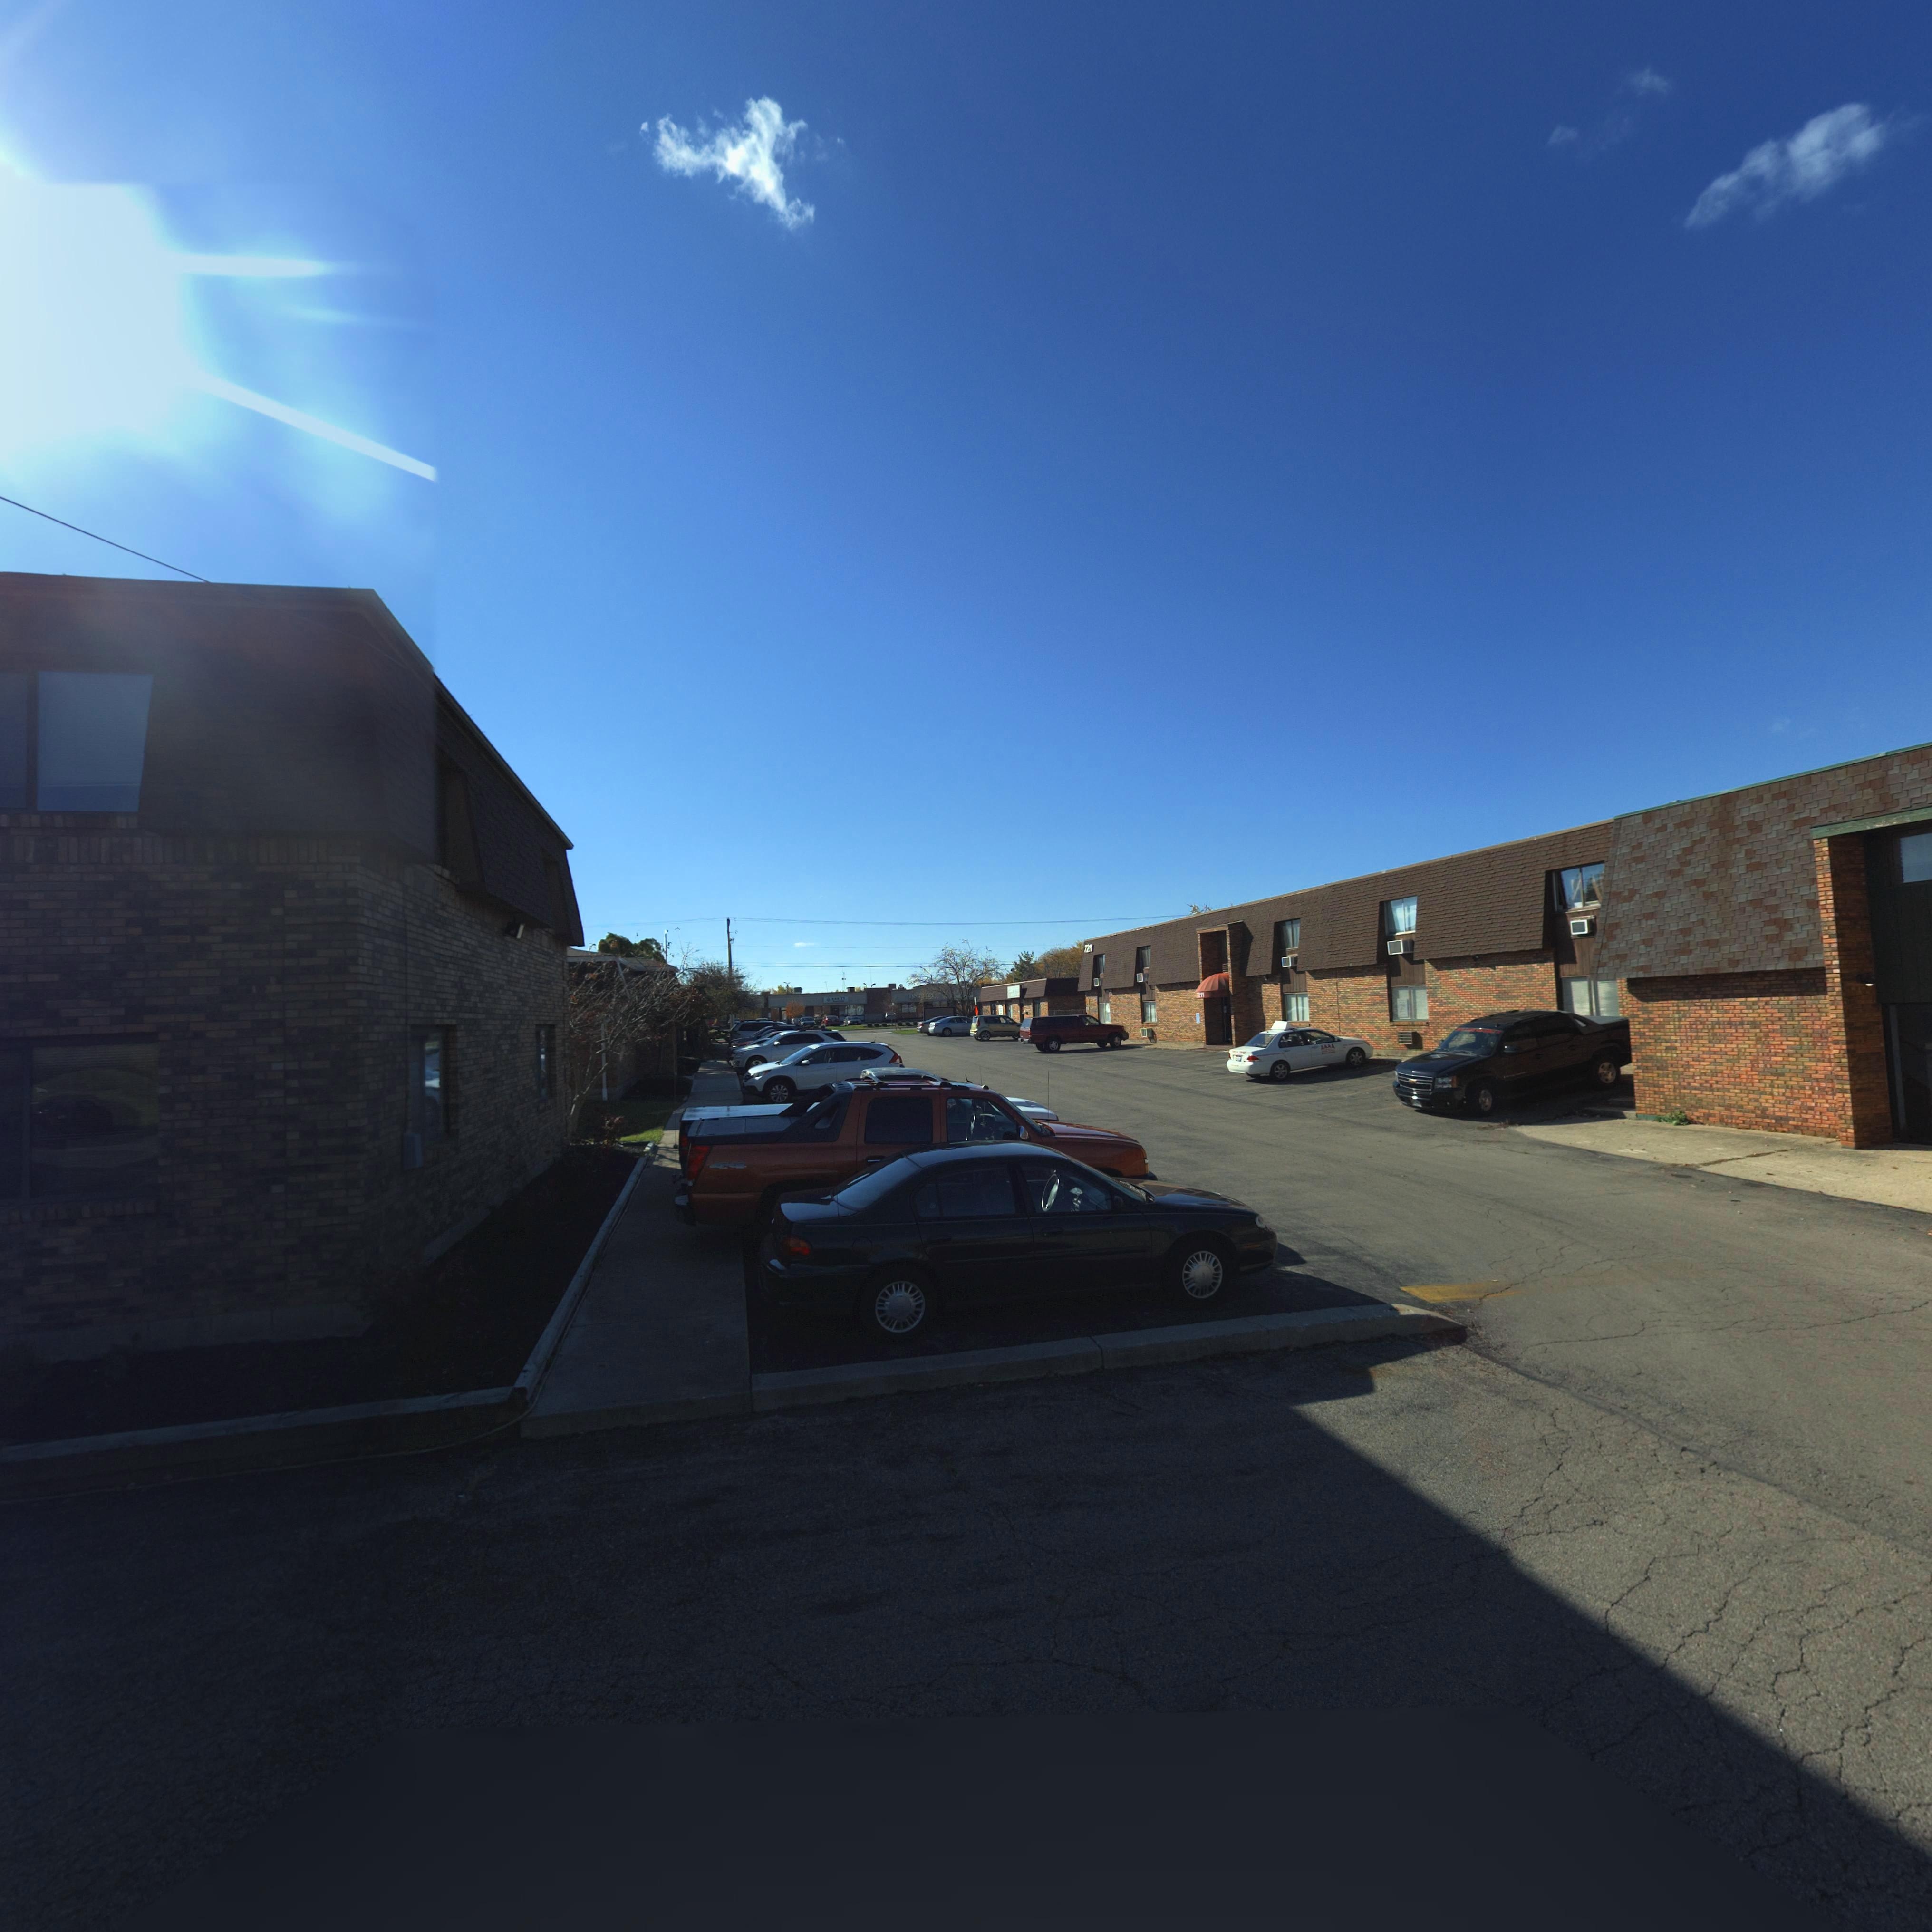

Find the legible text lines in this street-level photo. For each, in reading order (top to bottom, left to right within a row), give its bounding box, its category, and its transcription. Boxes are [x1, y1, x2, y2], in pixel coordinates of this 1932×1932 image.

[1196, 992, 1205, 998] StreetNumber: 7211